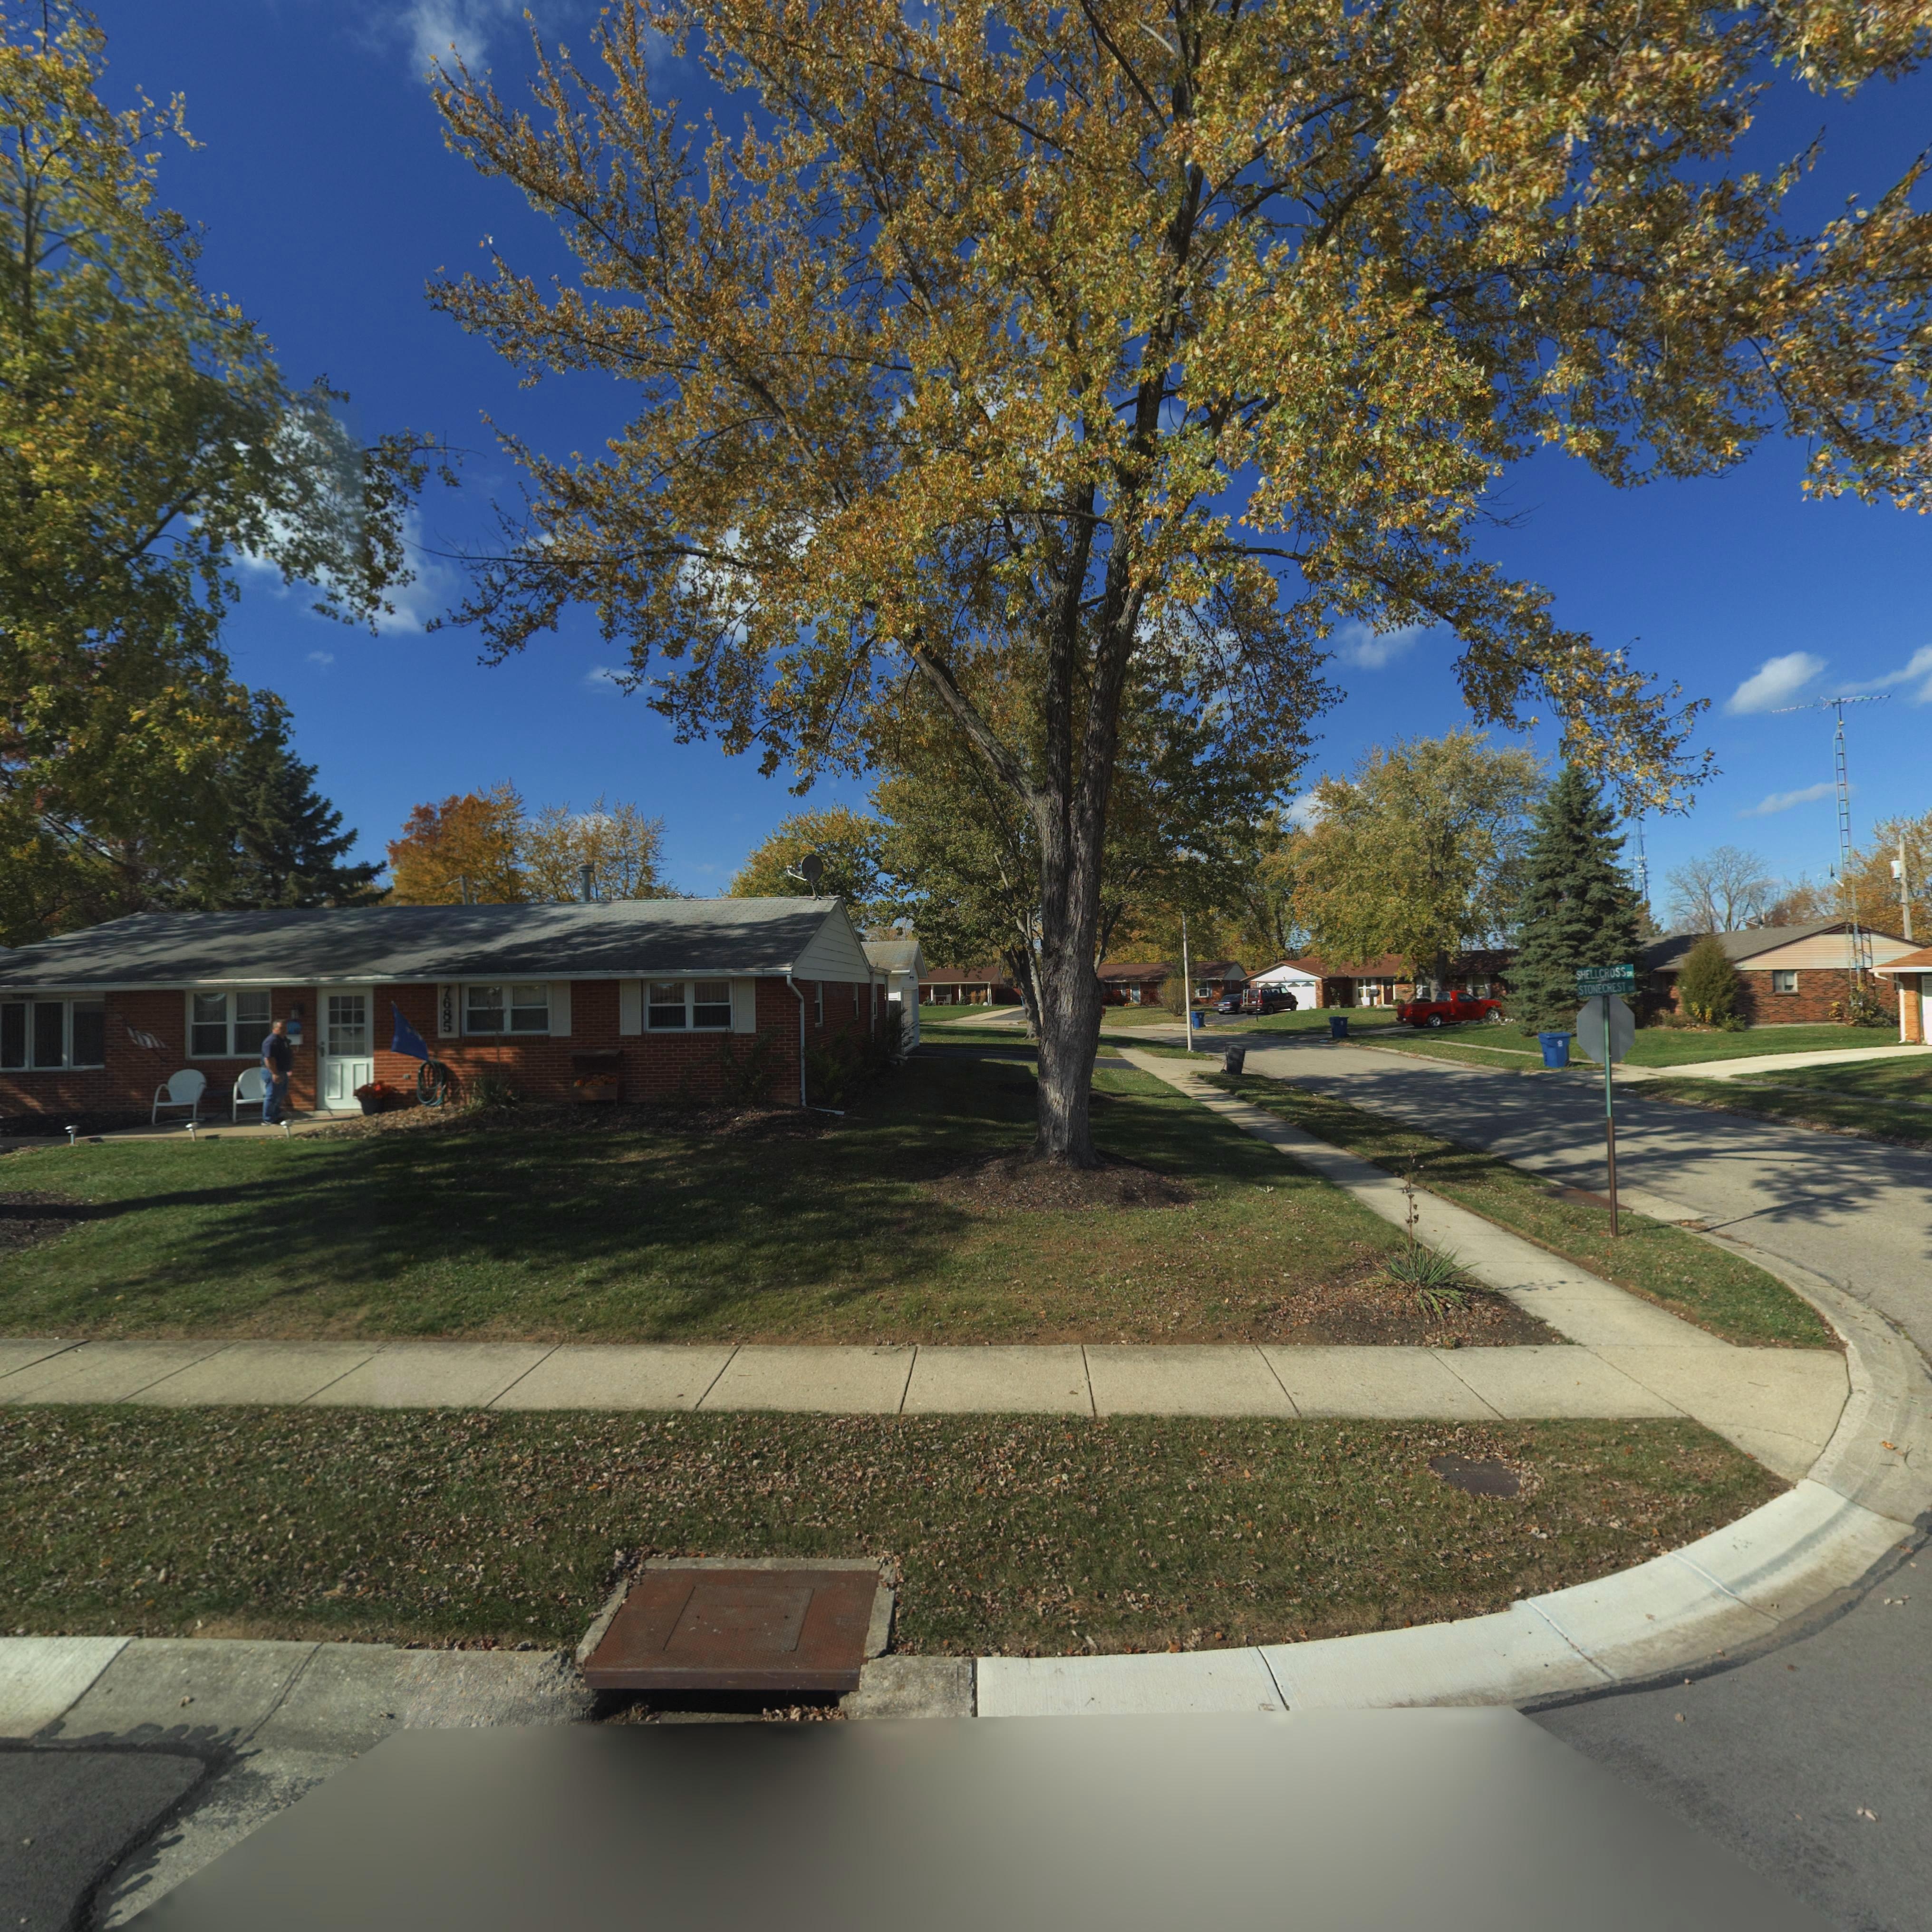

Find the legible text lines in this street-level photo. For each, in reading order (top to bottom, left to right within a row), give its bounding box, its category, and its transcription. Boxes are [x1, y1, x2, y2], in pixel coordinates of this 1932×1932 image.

[441, 985, 454, 1034] StreetNumber: 7685